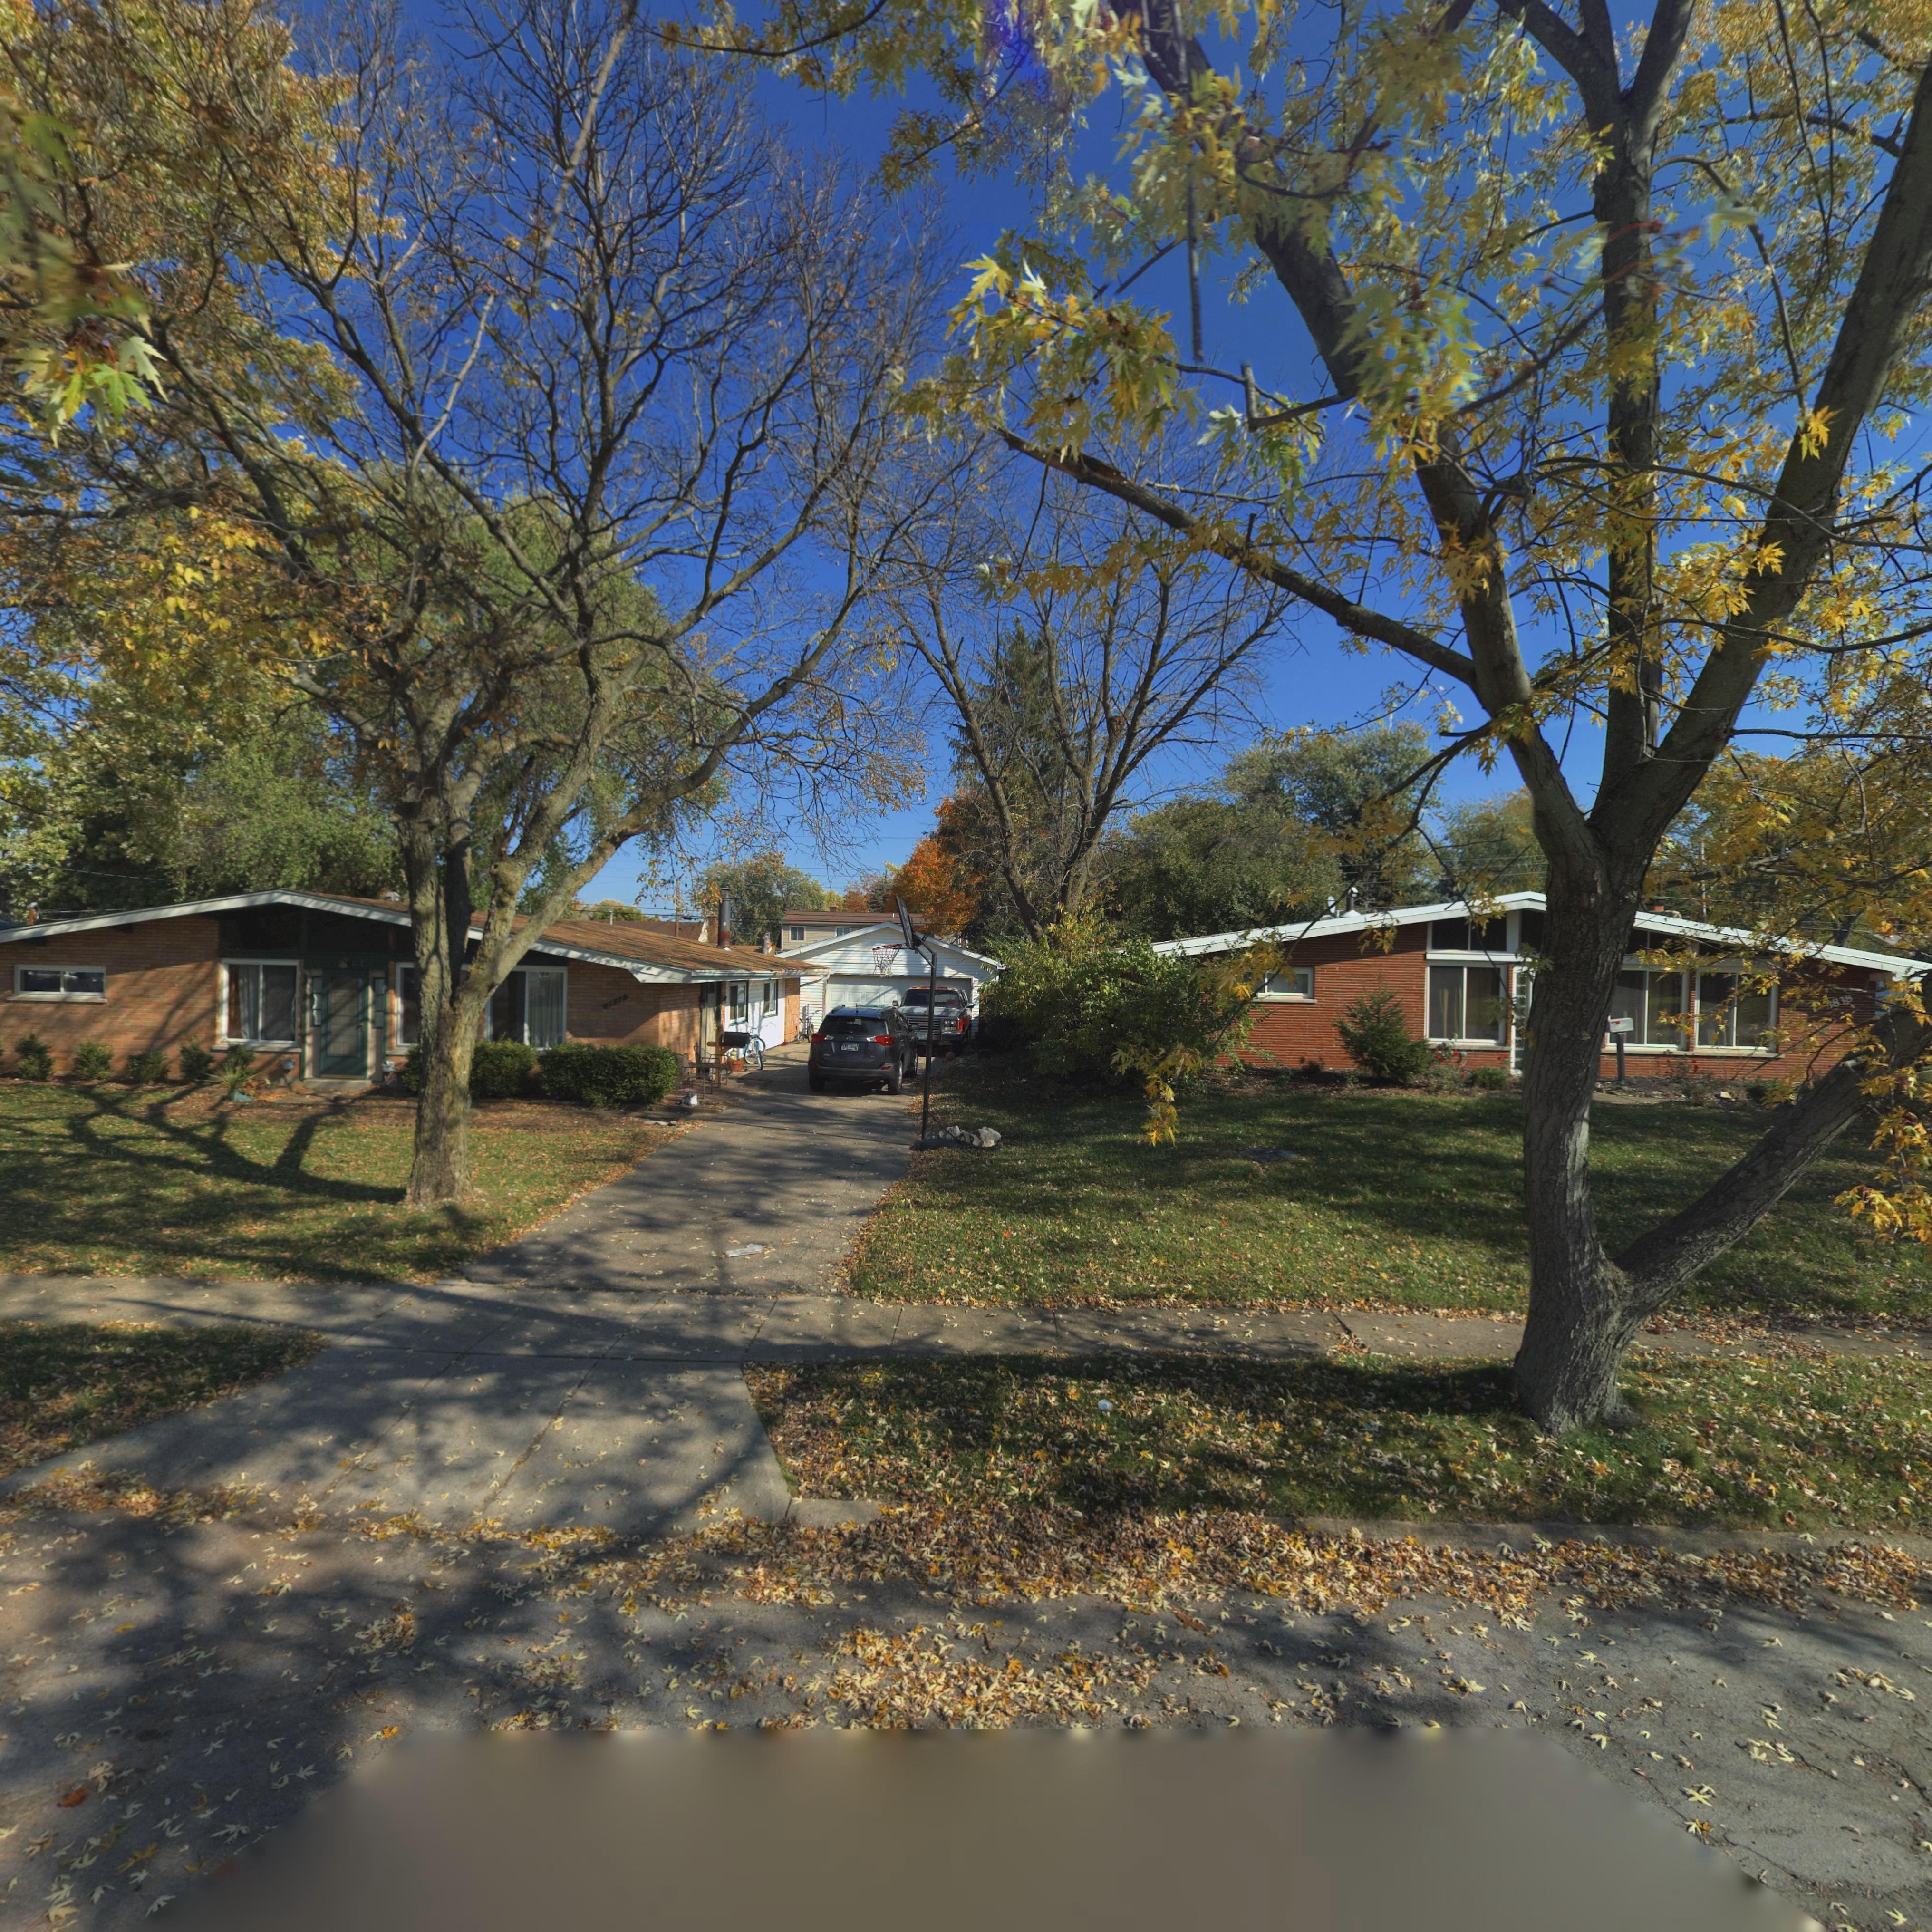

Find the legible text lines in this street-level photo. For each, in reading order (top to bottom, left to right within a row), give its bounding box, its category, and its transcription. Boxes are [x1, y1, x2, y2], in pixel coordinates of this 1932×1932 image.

[605, 995, 624, 1010] StreetNumber: 3832
[1826, 994, 1854, 1011] StreetNumber: *838